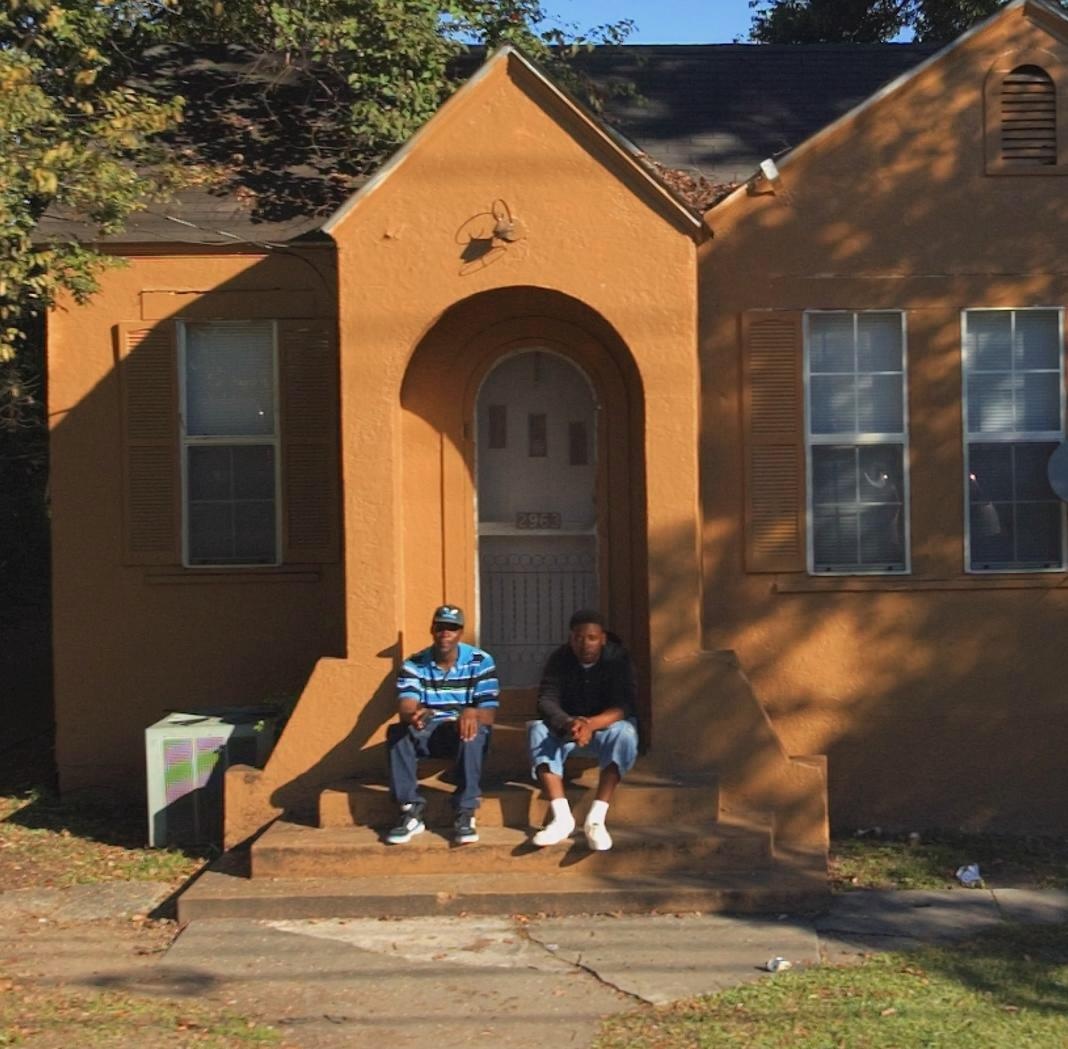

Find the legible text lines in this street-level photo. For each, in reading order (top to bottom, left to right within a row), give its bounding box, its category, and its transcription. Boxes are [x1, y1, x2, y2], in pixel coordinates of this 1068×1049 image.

[516, 510, 562, 530] StreetNumber: 2963